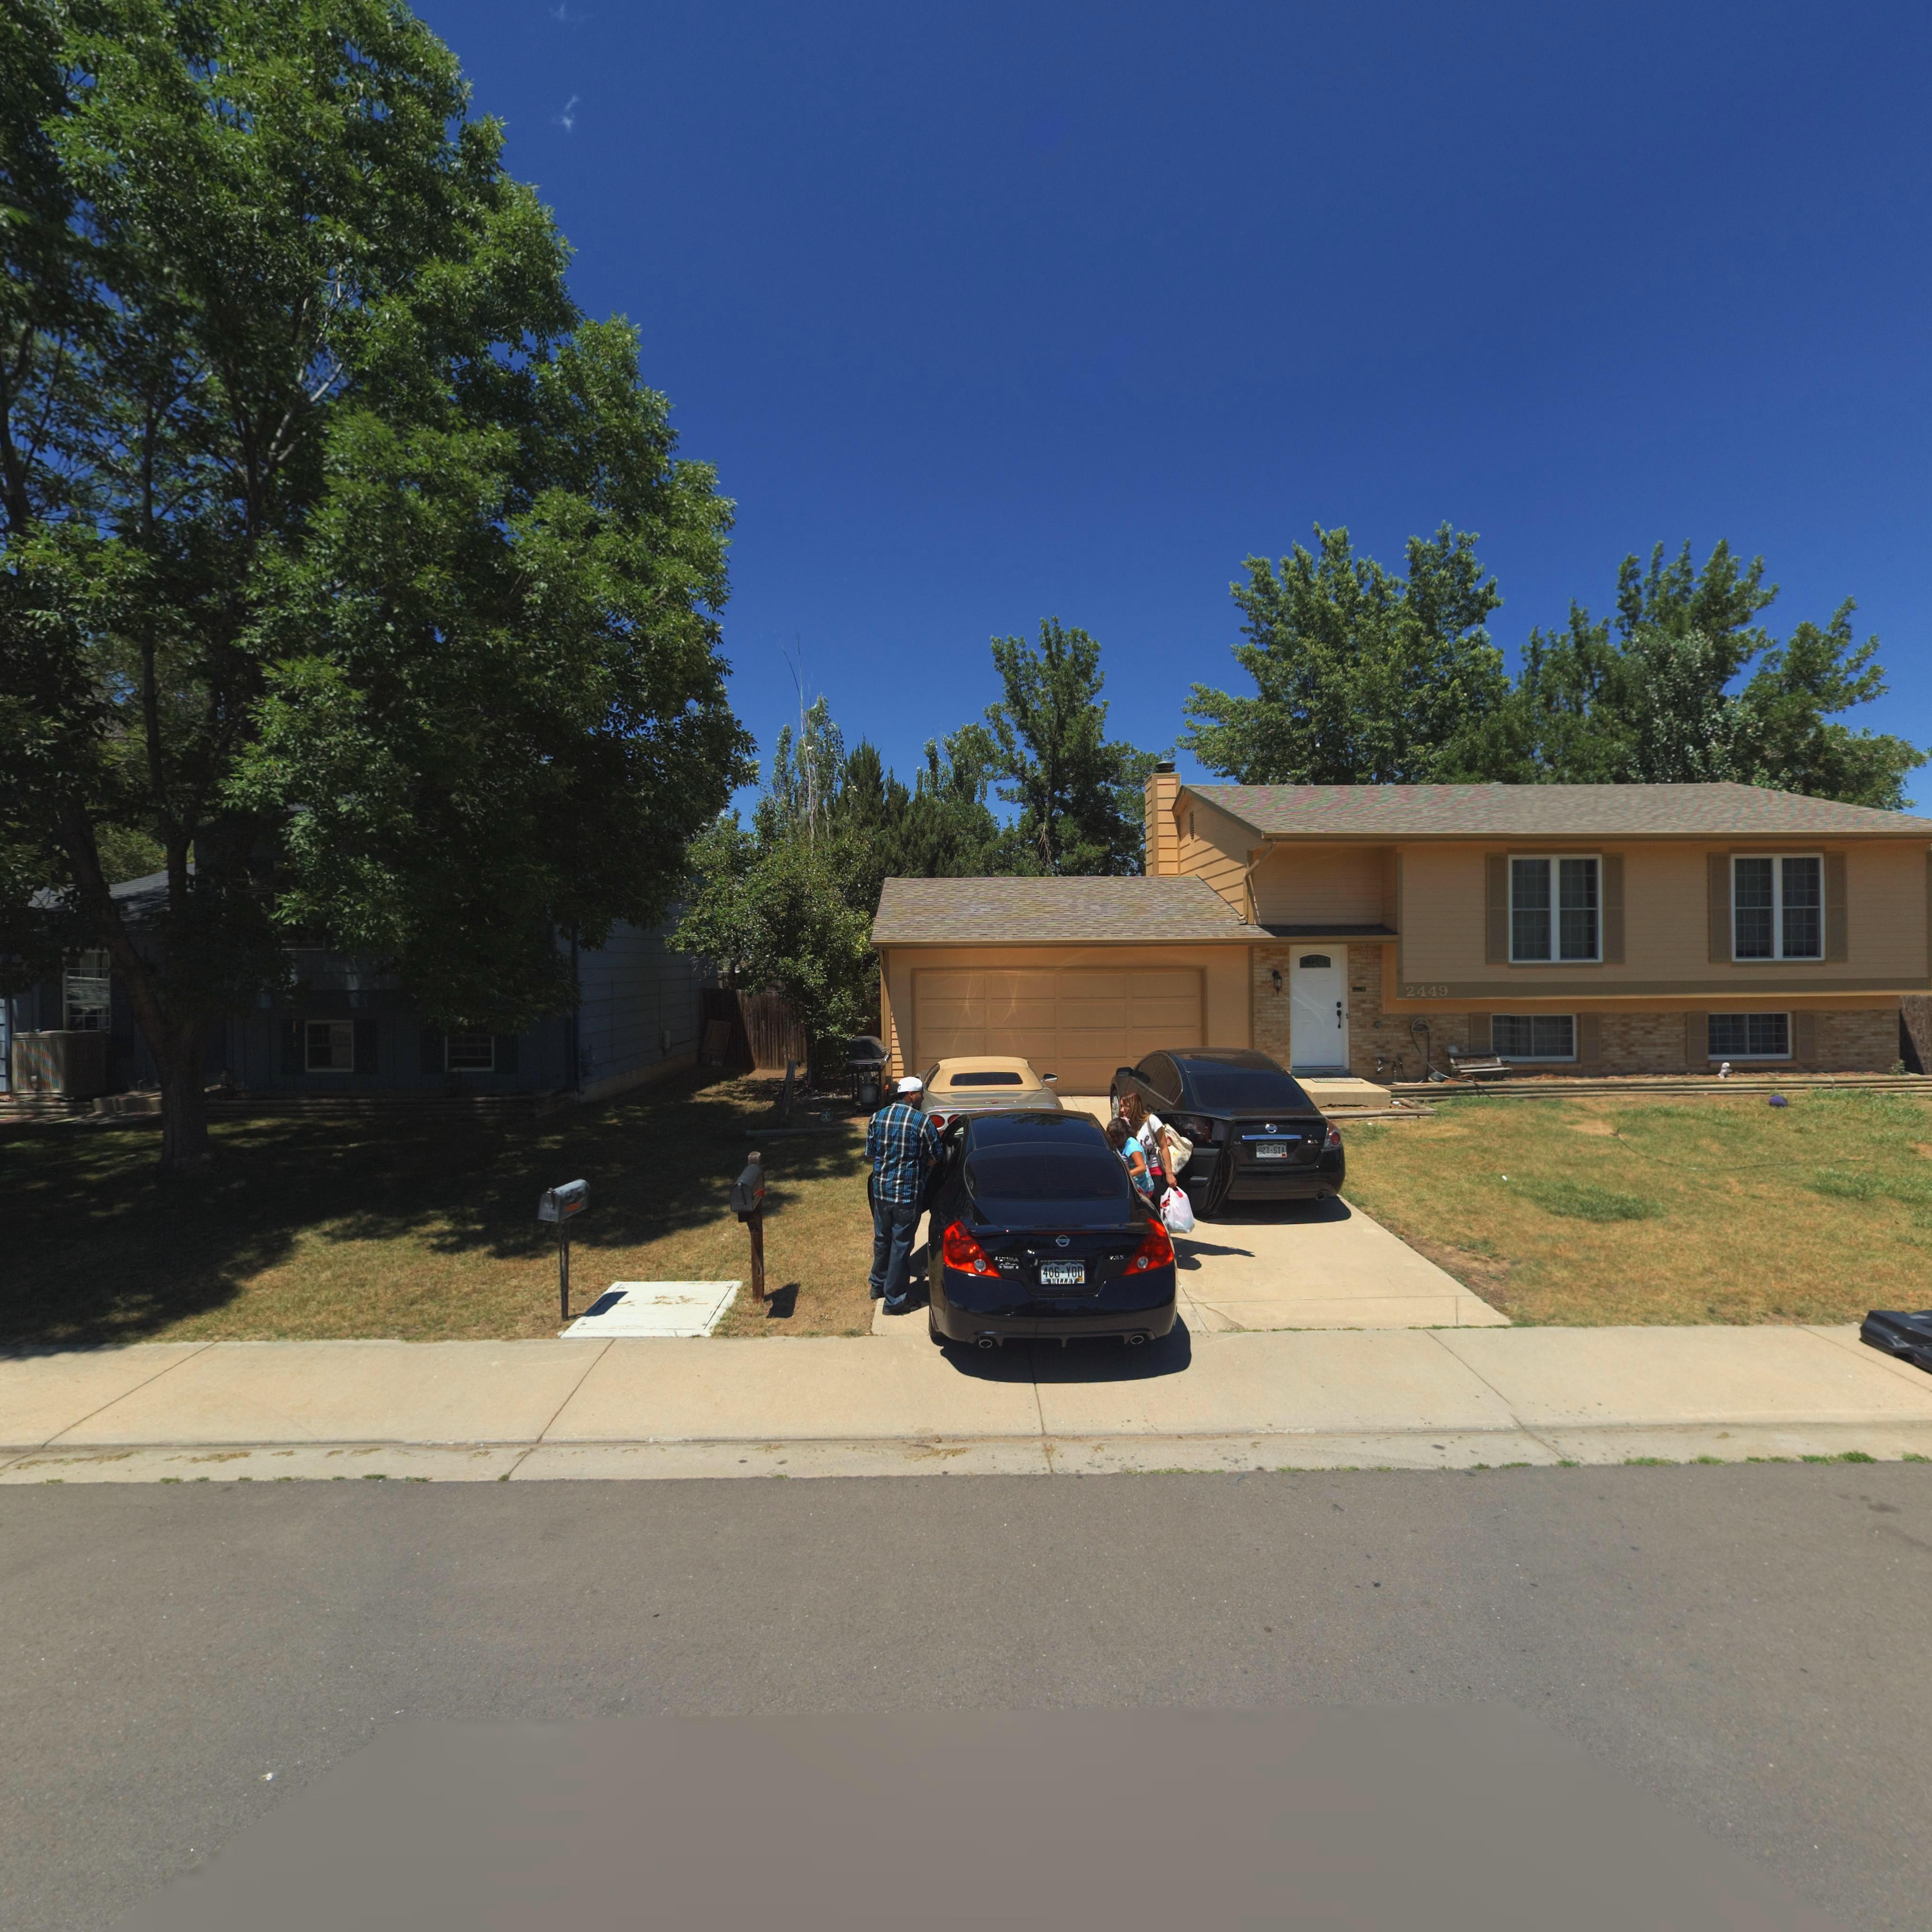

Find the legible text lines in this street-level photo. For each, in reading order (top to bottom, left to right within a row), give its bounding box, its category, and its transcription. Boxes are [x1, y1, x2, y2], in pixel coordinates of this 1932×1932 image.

[1405, 984, 1449, 997] StreetNumber: 2449